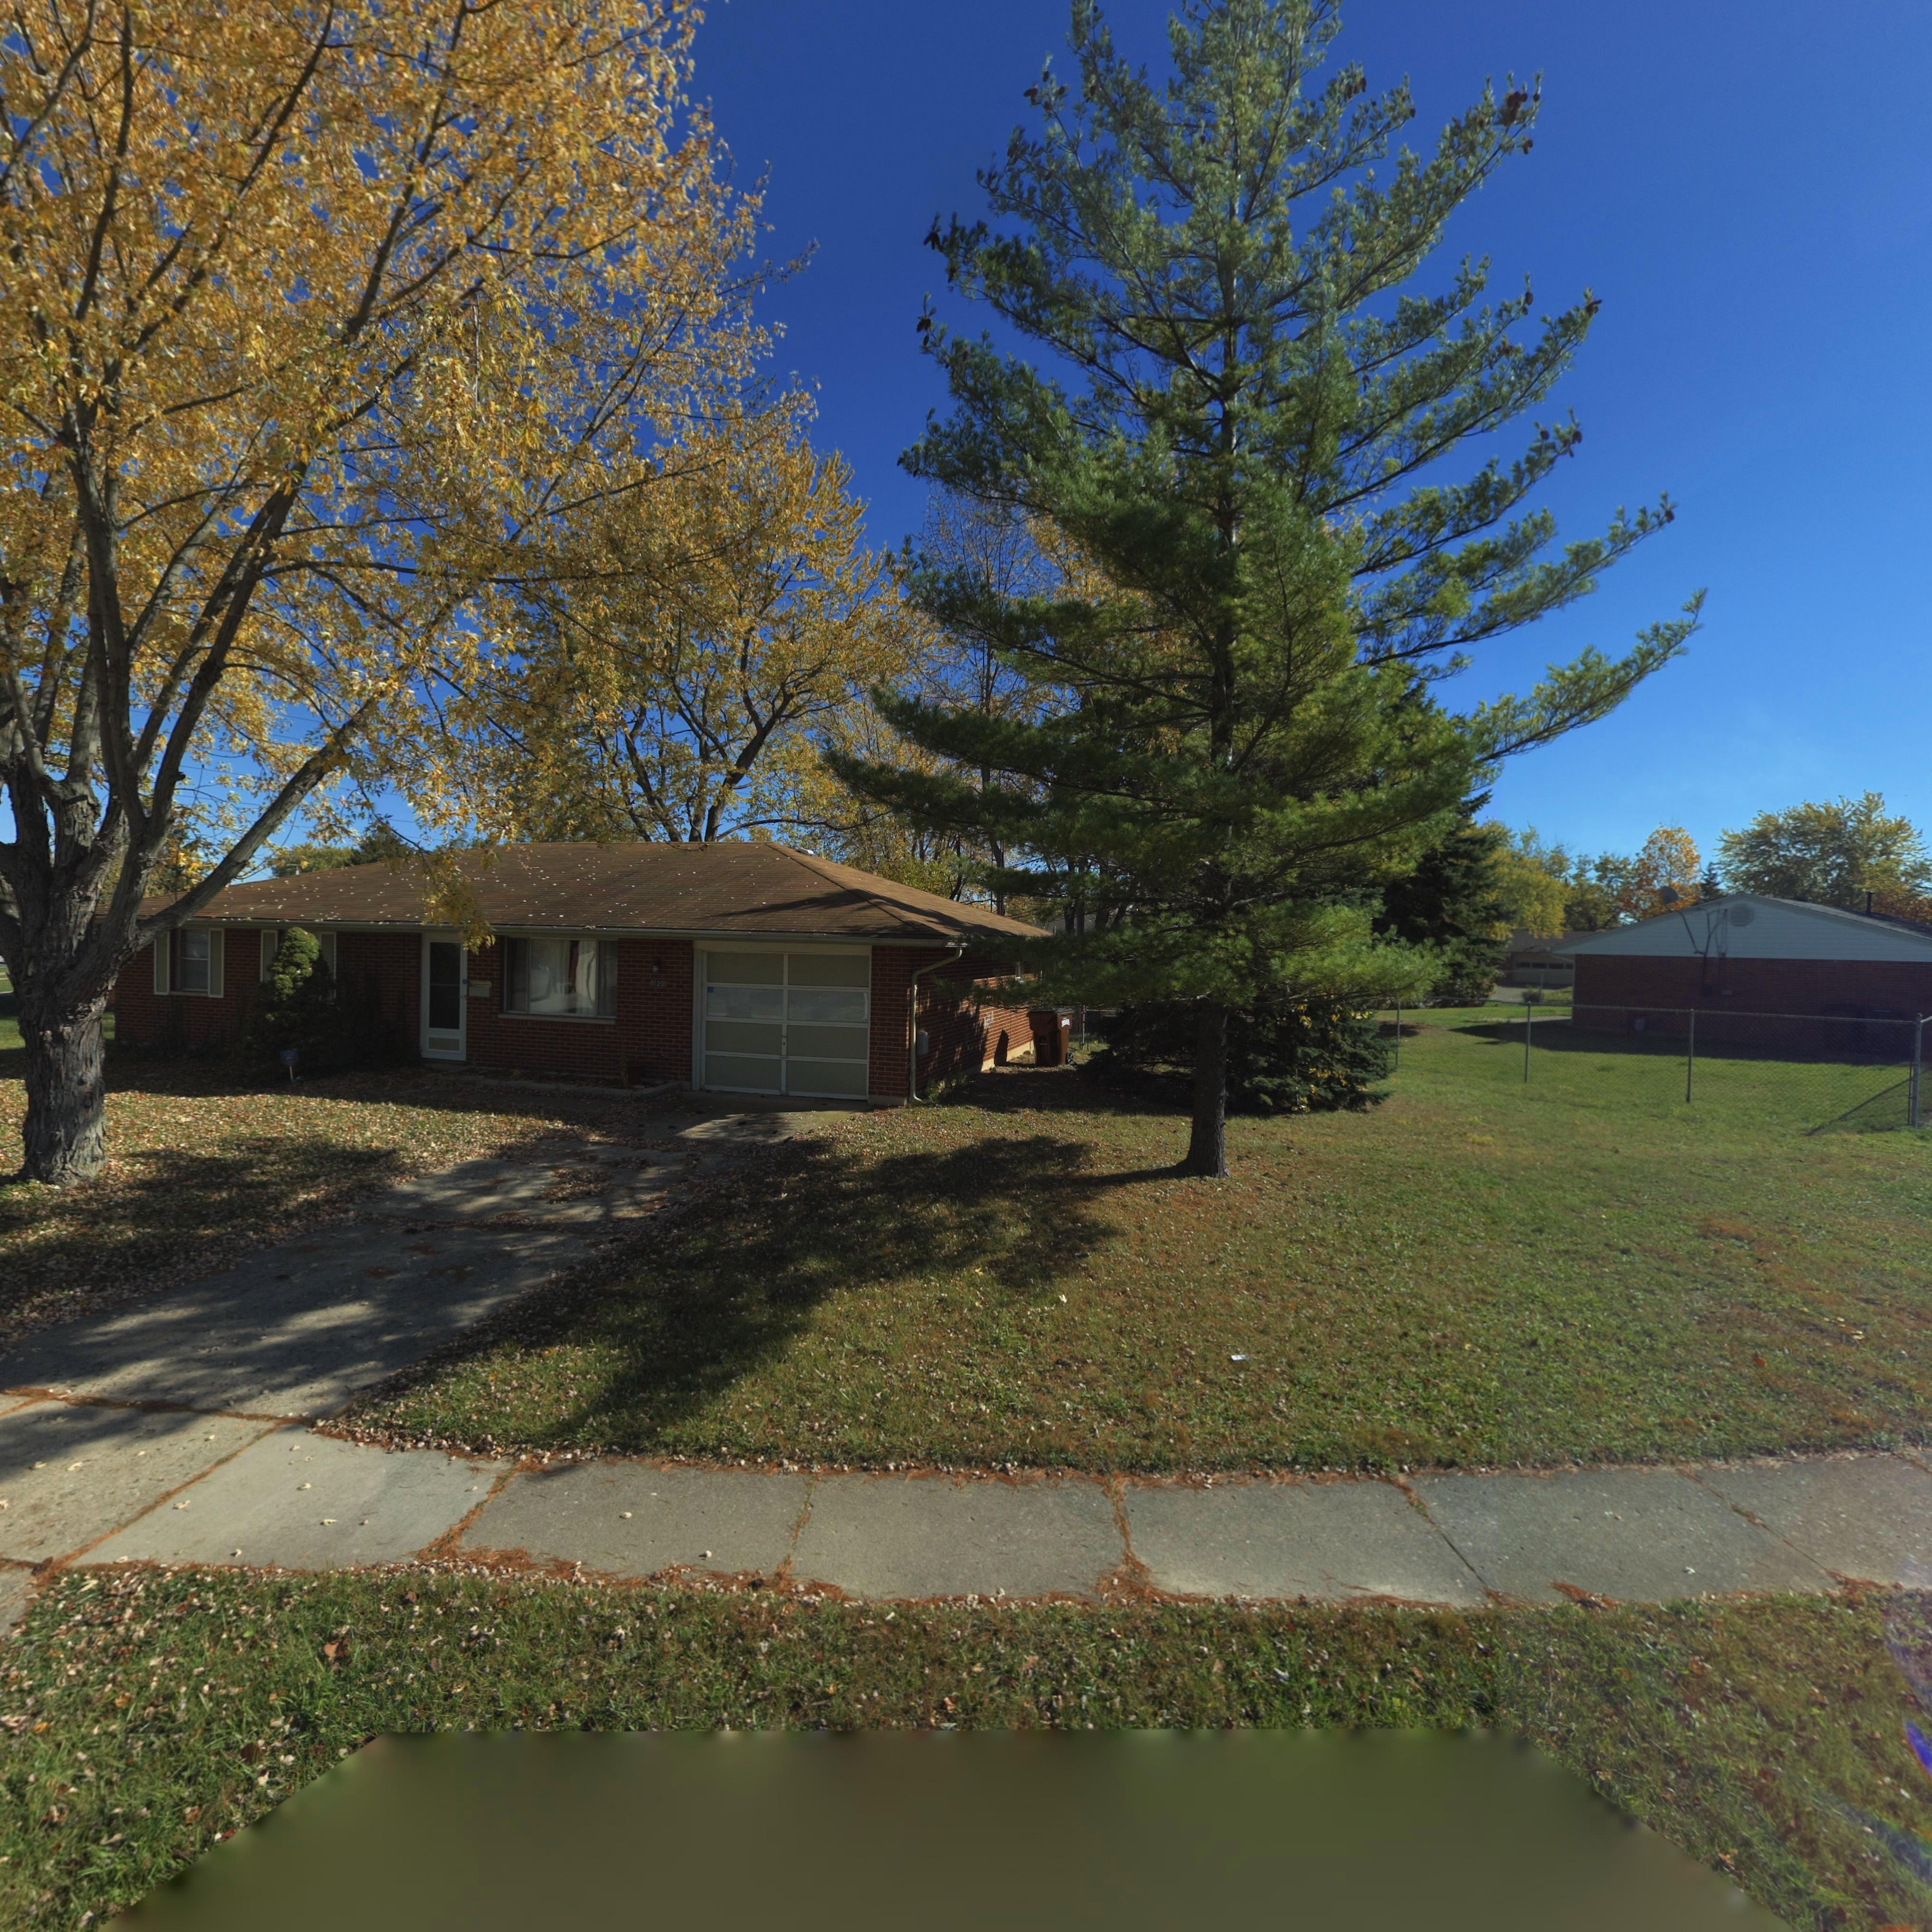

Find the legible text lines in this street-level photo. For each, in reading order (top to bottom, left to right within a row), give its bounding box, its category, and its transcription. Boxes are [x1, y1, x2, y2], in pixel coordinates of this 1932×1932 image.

[653, 980, 665, 987] StreetNumber: 120